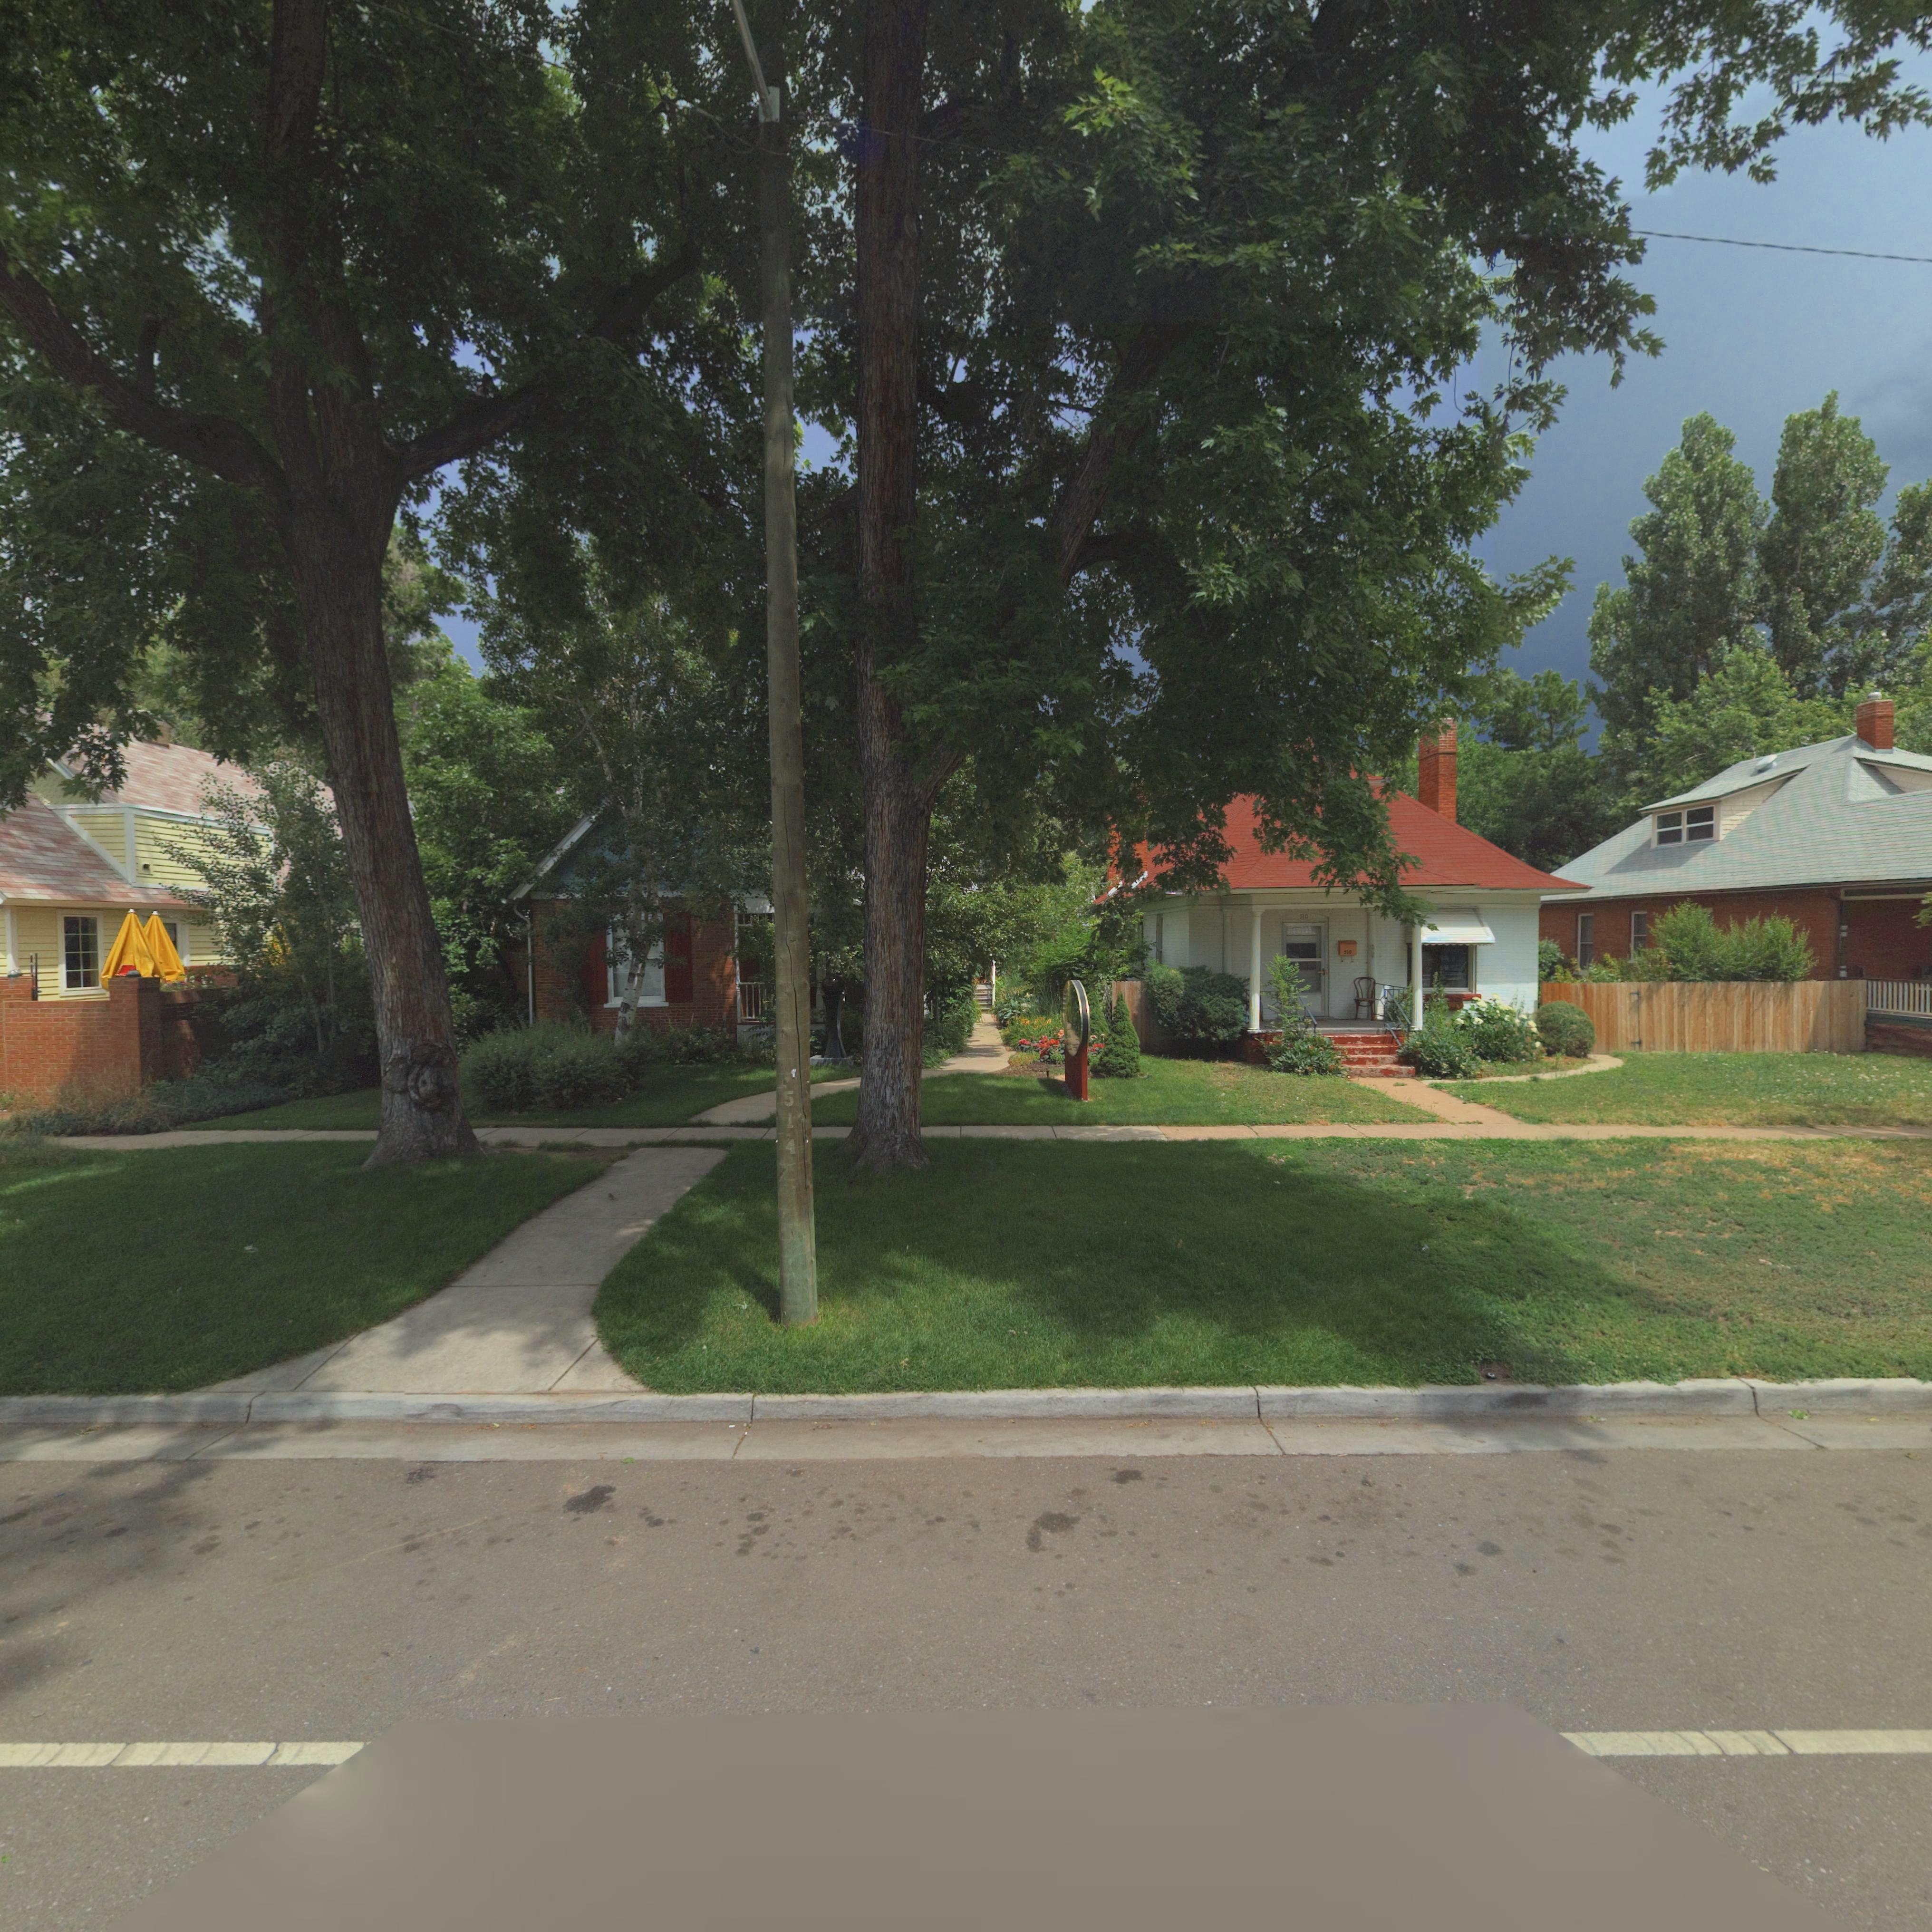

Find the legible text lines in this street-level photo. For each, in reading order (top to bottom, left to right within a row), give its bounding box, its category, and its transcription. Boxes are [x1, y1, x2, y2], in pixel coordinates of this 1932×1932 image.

[1299, 913, 1308, 919] StreetNumber: 510
[1344, 950, 1352, 954] StreetNumber: 510